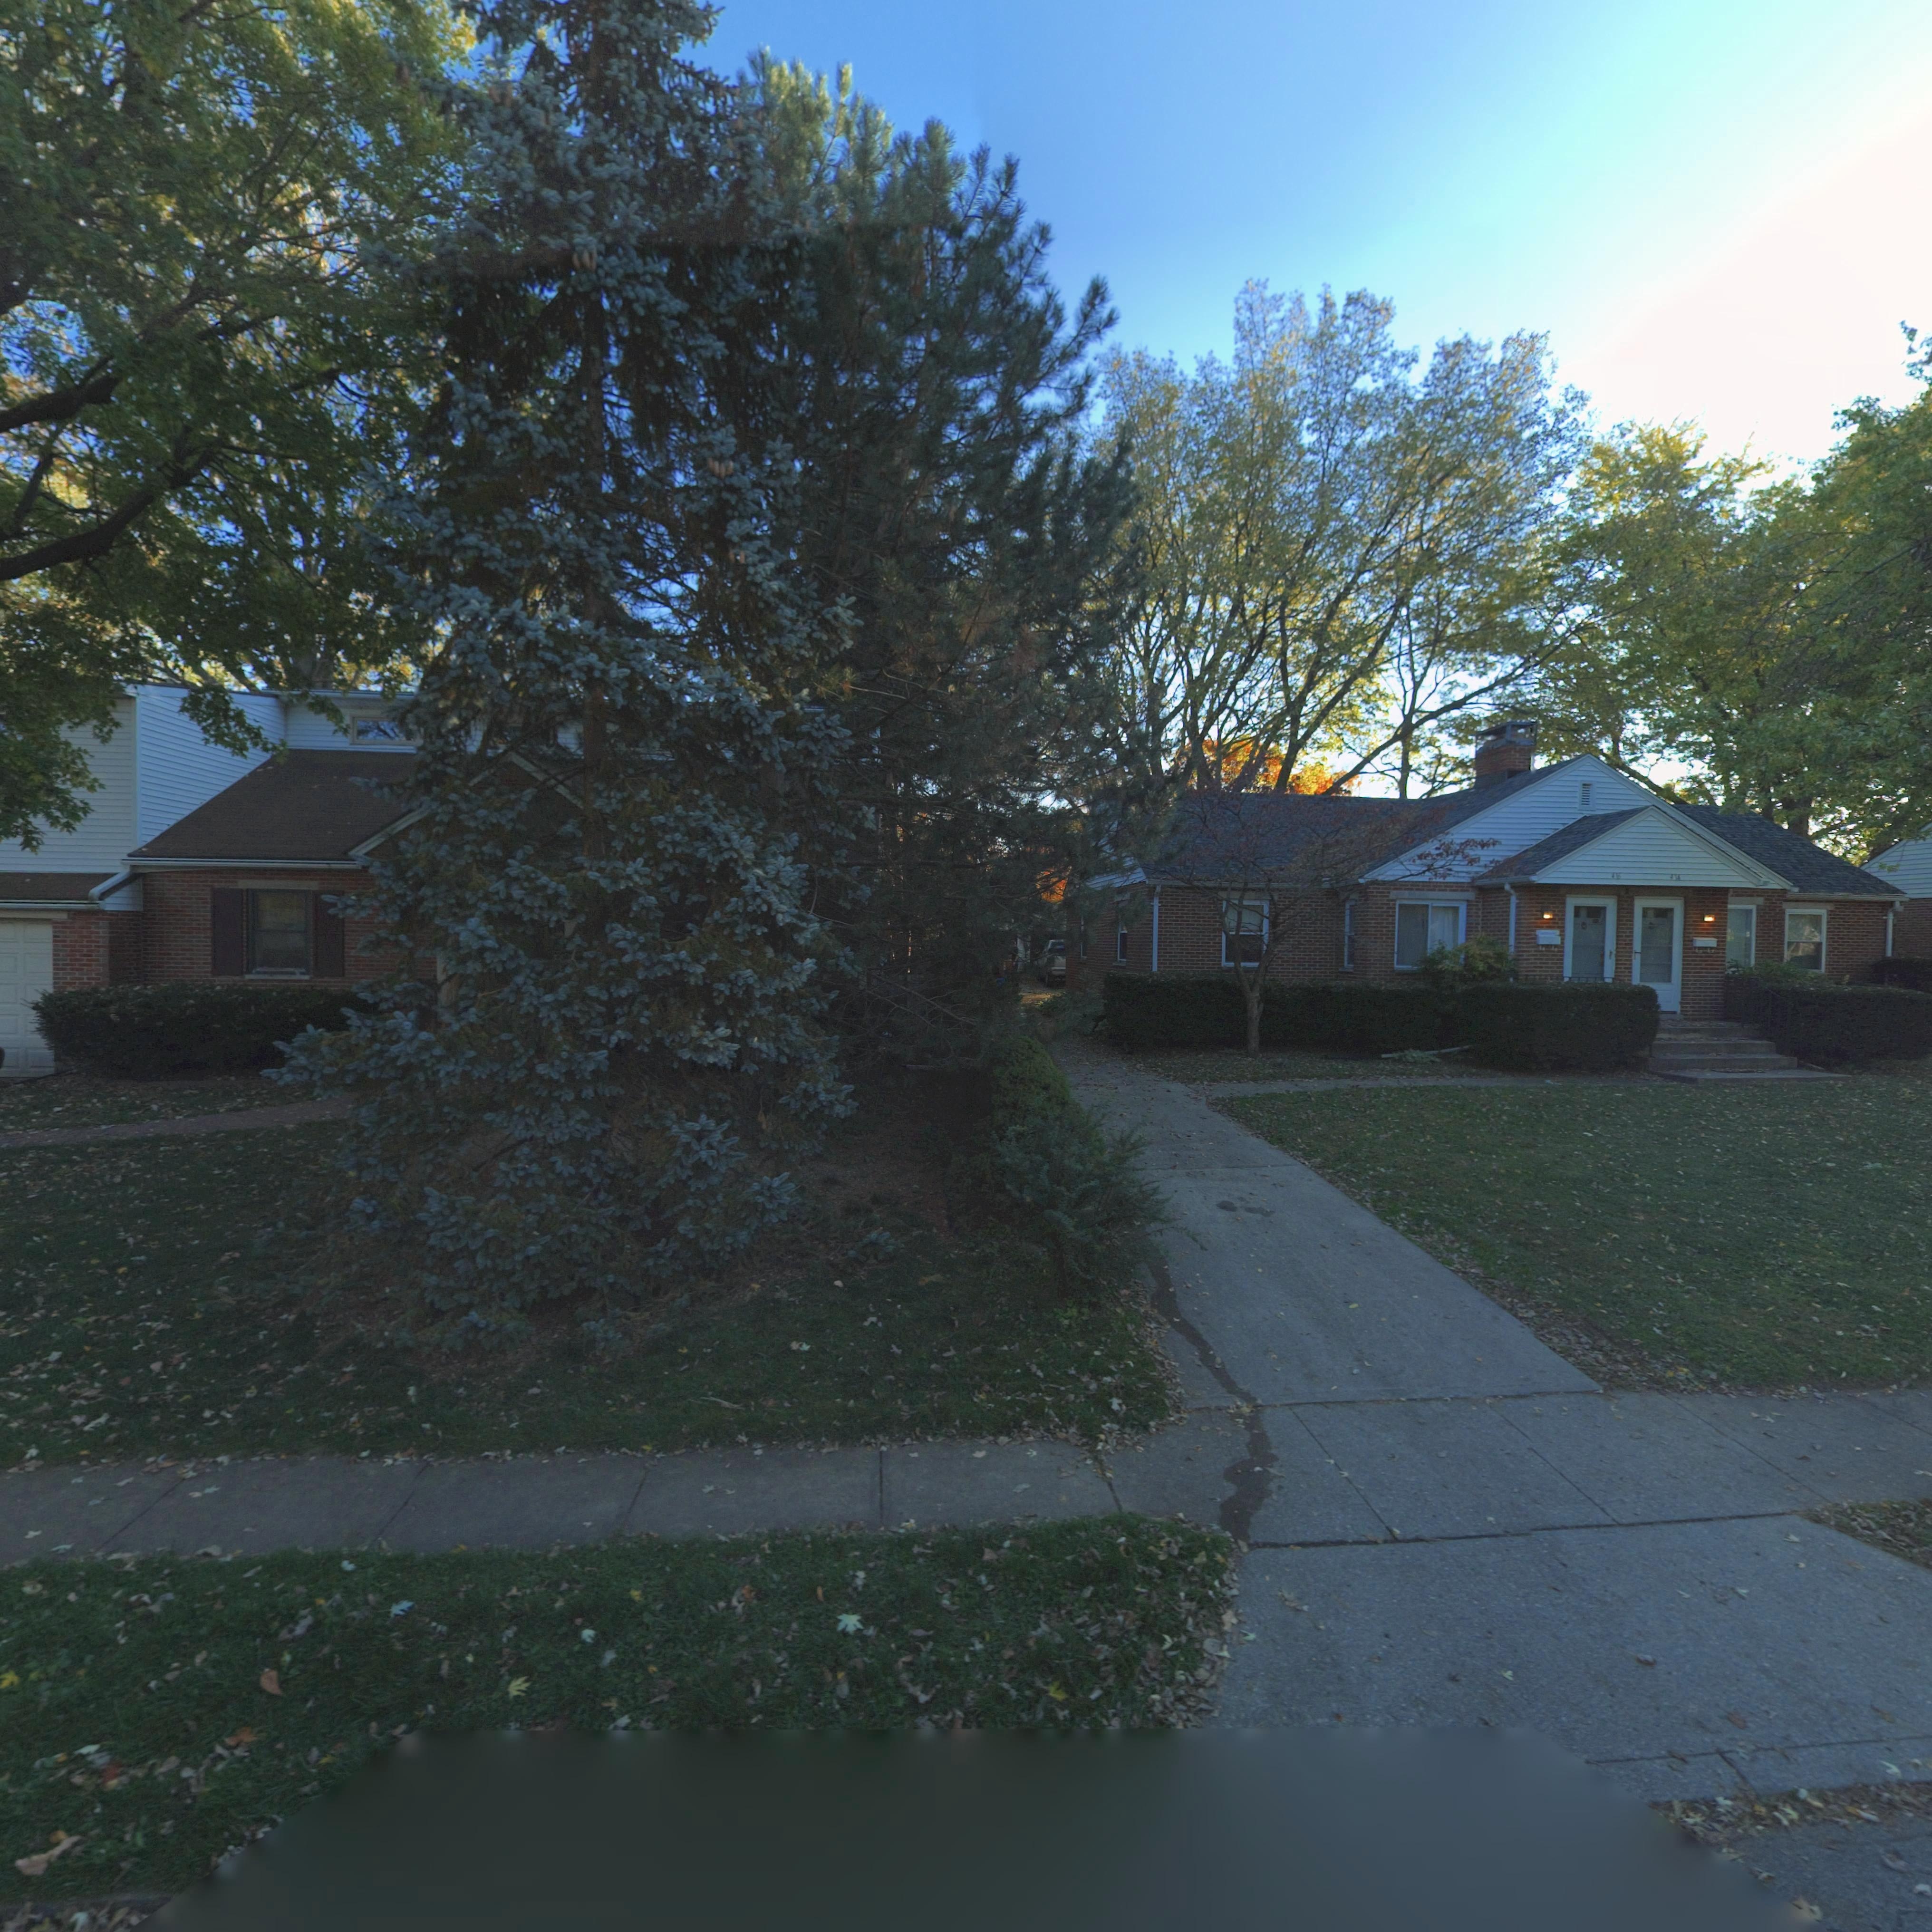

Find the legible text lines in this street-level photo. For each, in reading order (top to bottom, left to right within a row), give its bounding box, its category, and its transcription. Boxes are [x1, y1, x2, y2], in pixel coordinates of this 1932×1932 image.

[1611, 871, 1623, 880] StreetNumber: 4**
[1668, 872, 1681, 881] StreetNumber: 414